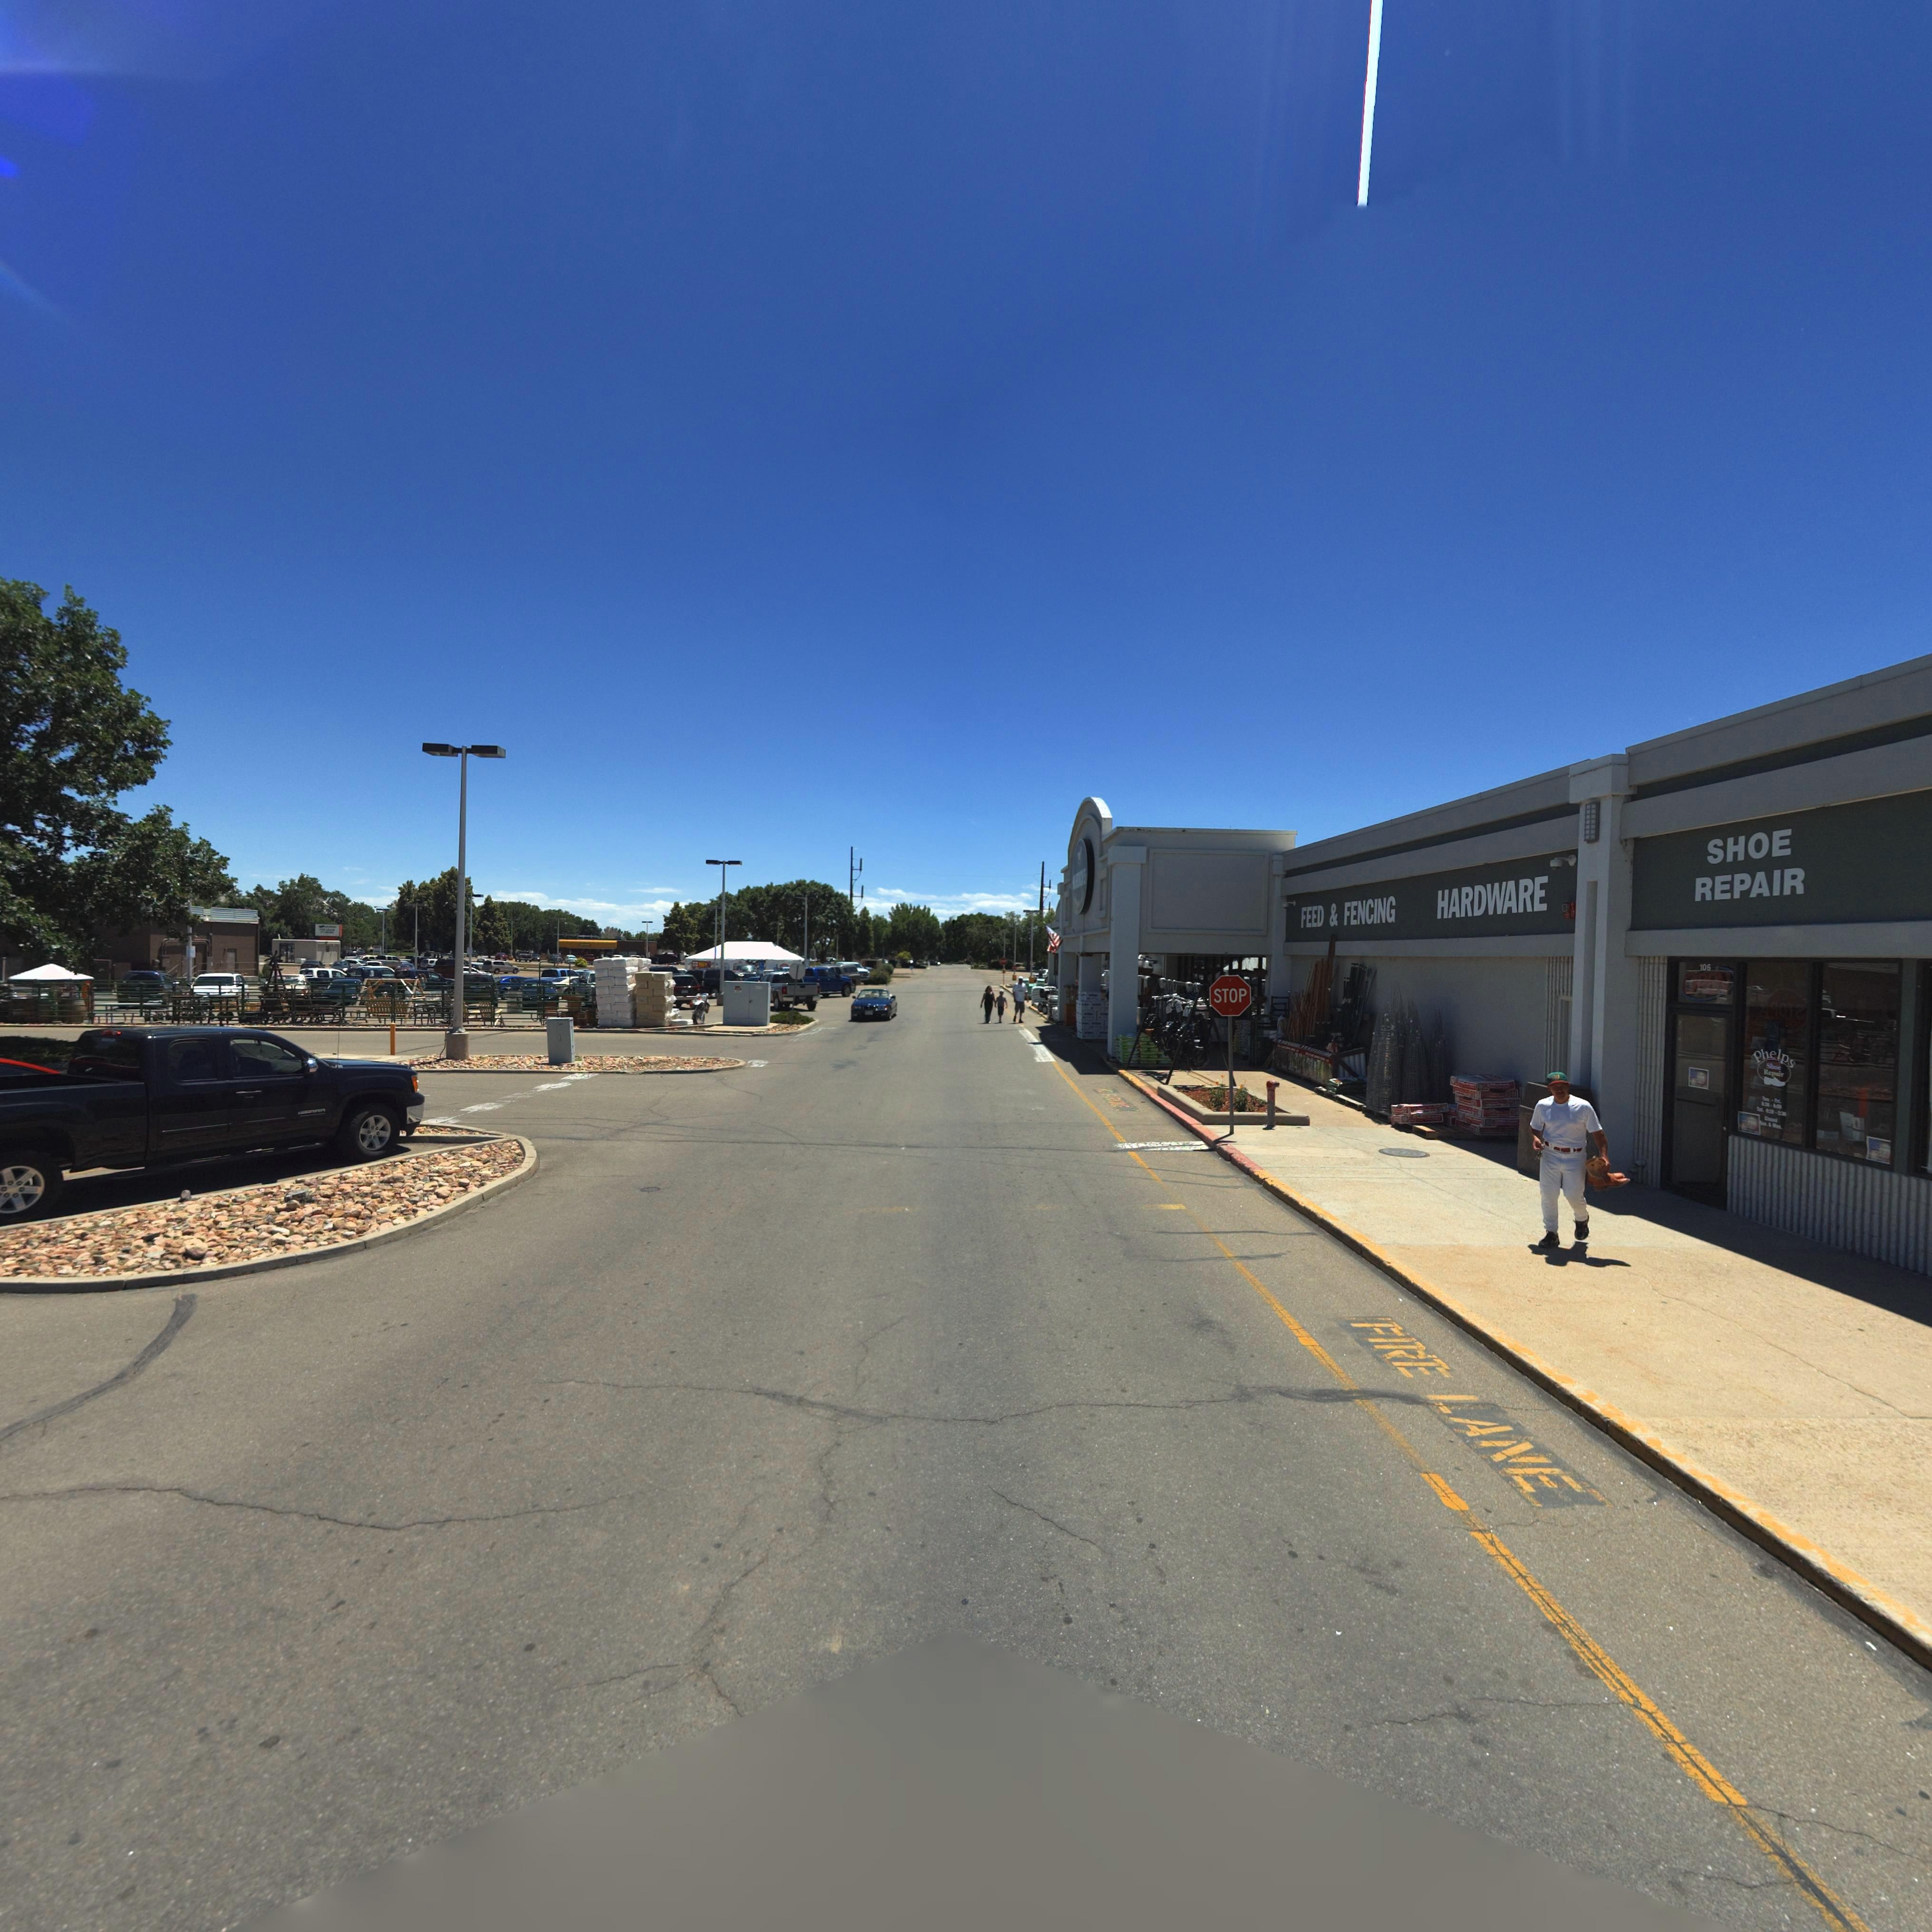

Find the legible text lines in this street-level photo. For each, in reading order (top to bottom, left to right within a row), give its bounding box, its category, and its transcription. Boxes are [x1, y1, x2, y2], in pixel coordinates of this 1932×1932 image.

[1072, 867, 1086, 890] BusinessName: MURDOCH'S
[1699, 963, 1711, 971] StreetNumber: 106
[1752, 1048, 1796, 1068] BusinessName: Phelps
[1766, 1062, 1782, 1070] BusinessName: Shoe
[1764, 1068, 1785, 1077] BusinessName: Repair